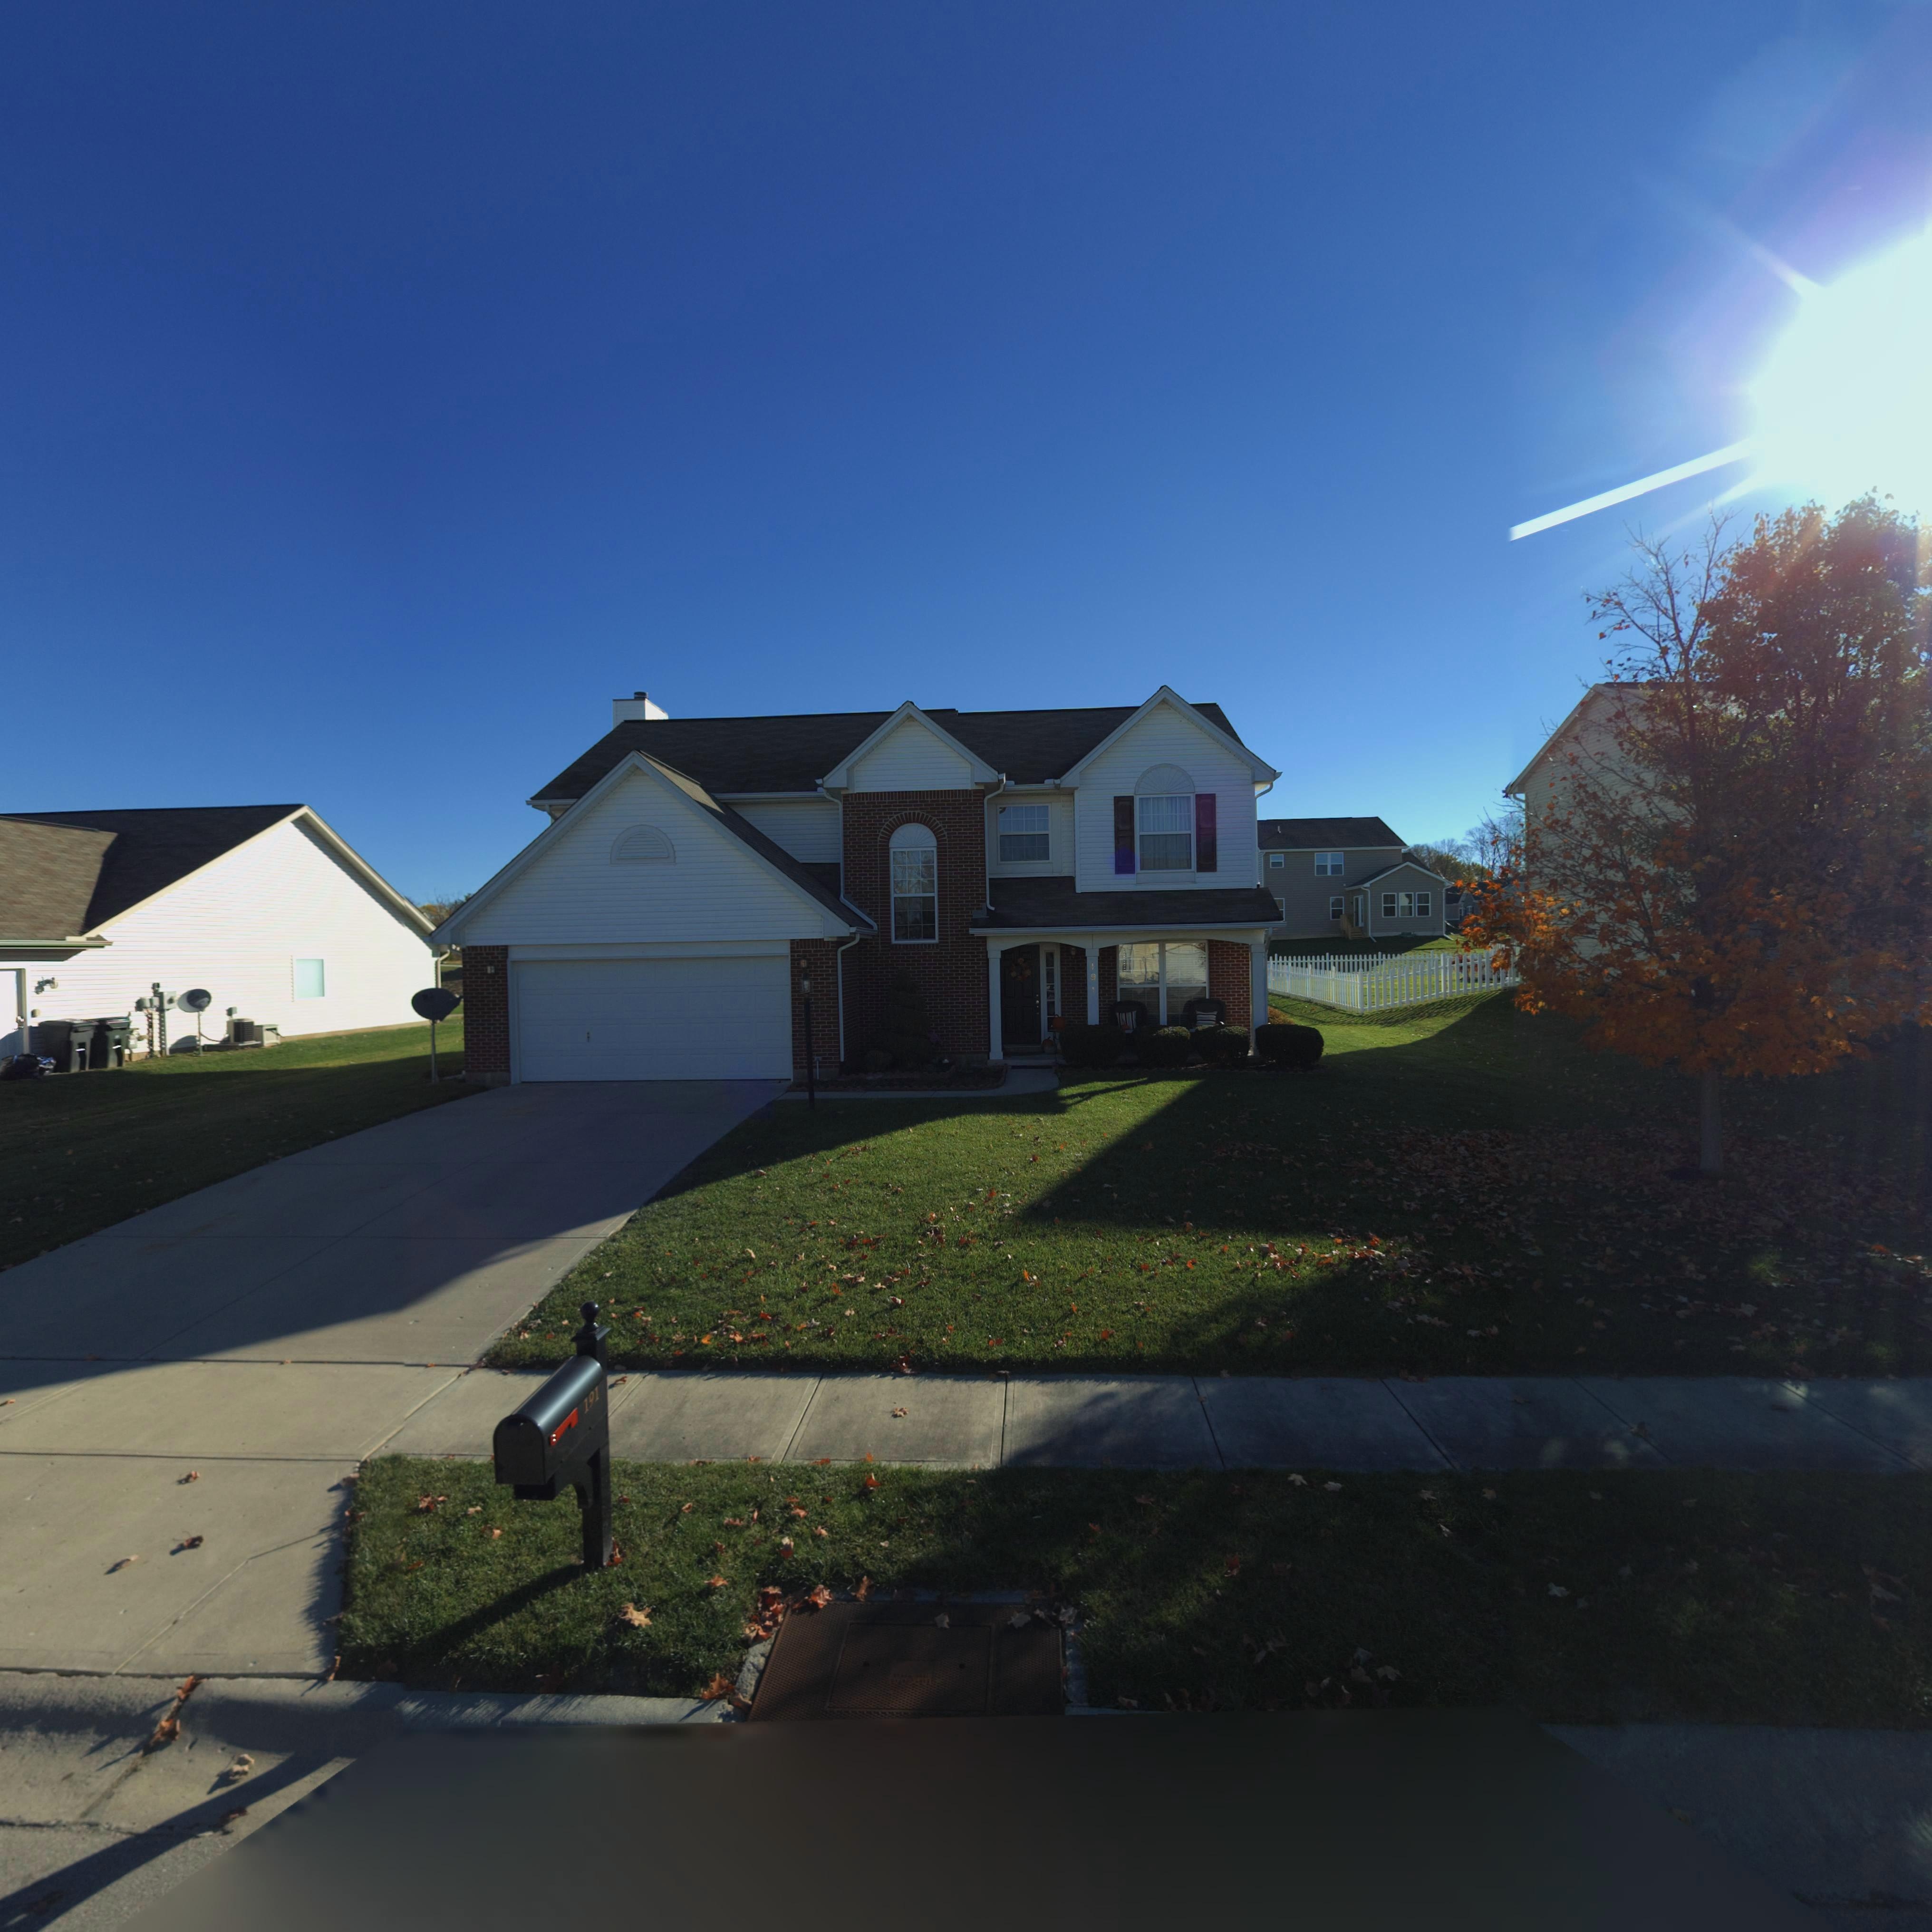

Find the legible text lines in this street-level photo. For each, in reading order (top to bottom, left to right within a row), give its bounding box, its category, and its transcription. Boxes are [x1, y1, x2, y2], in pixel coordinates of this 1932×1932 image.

[1090, 962, 1097, 994] StreetNumber: 191
[582, 1383, 600, 1416] StreetNumber: 191